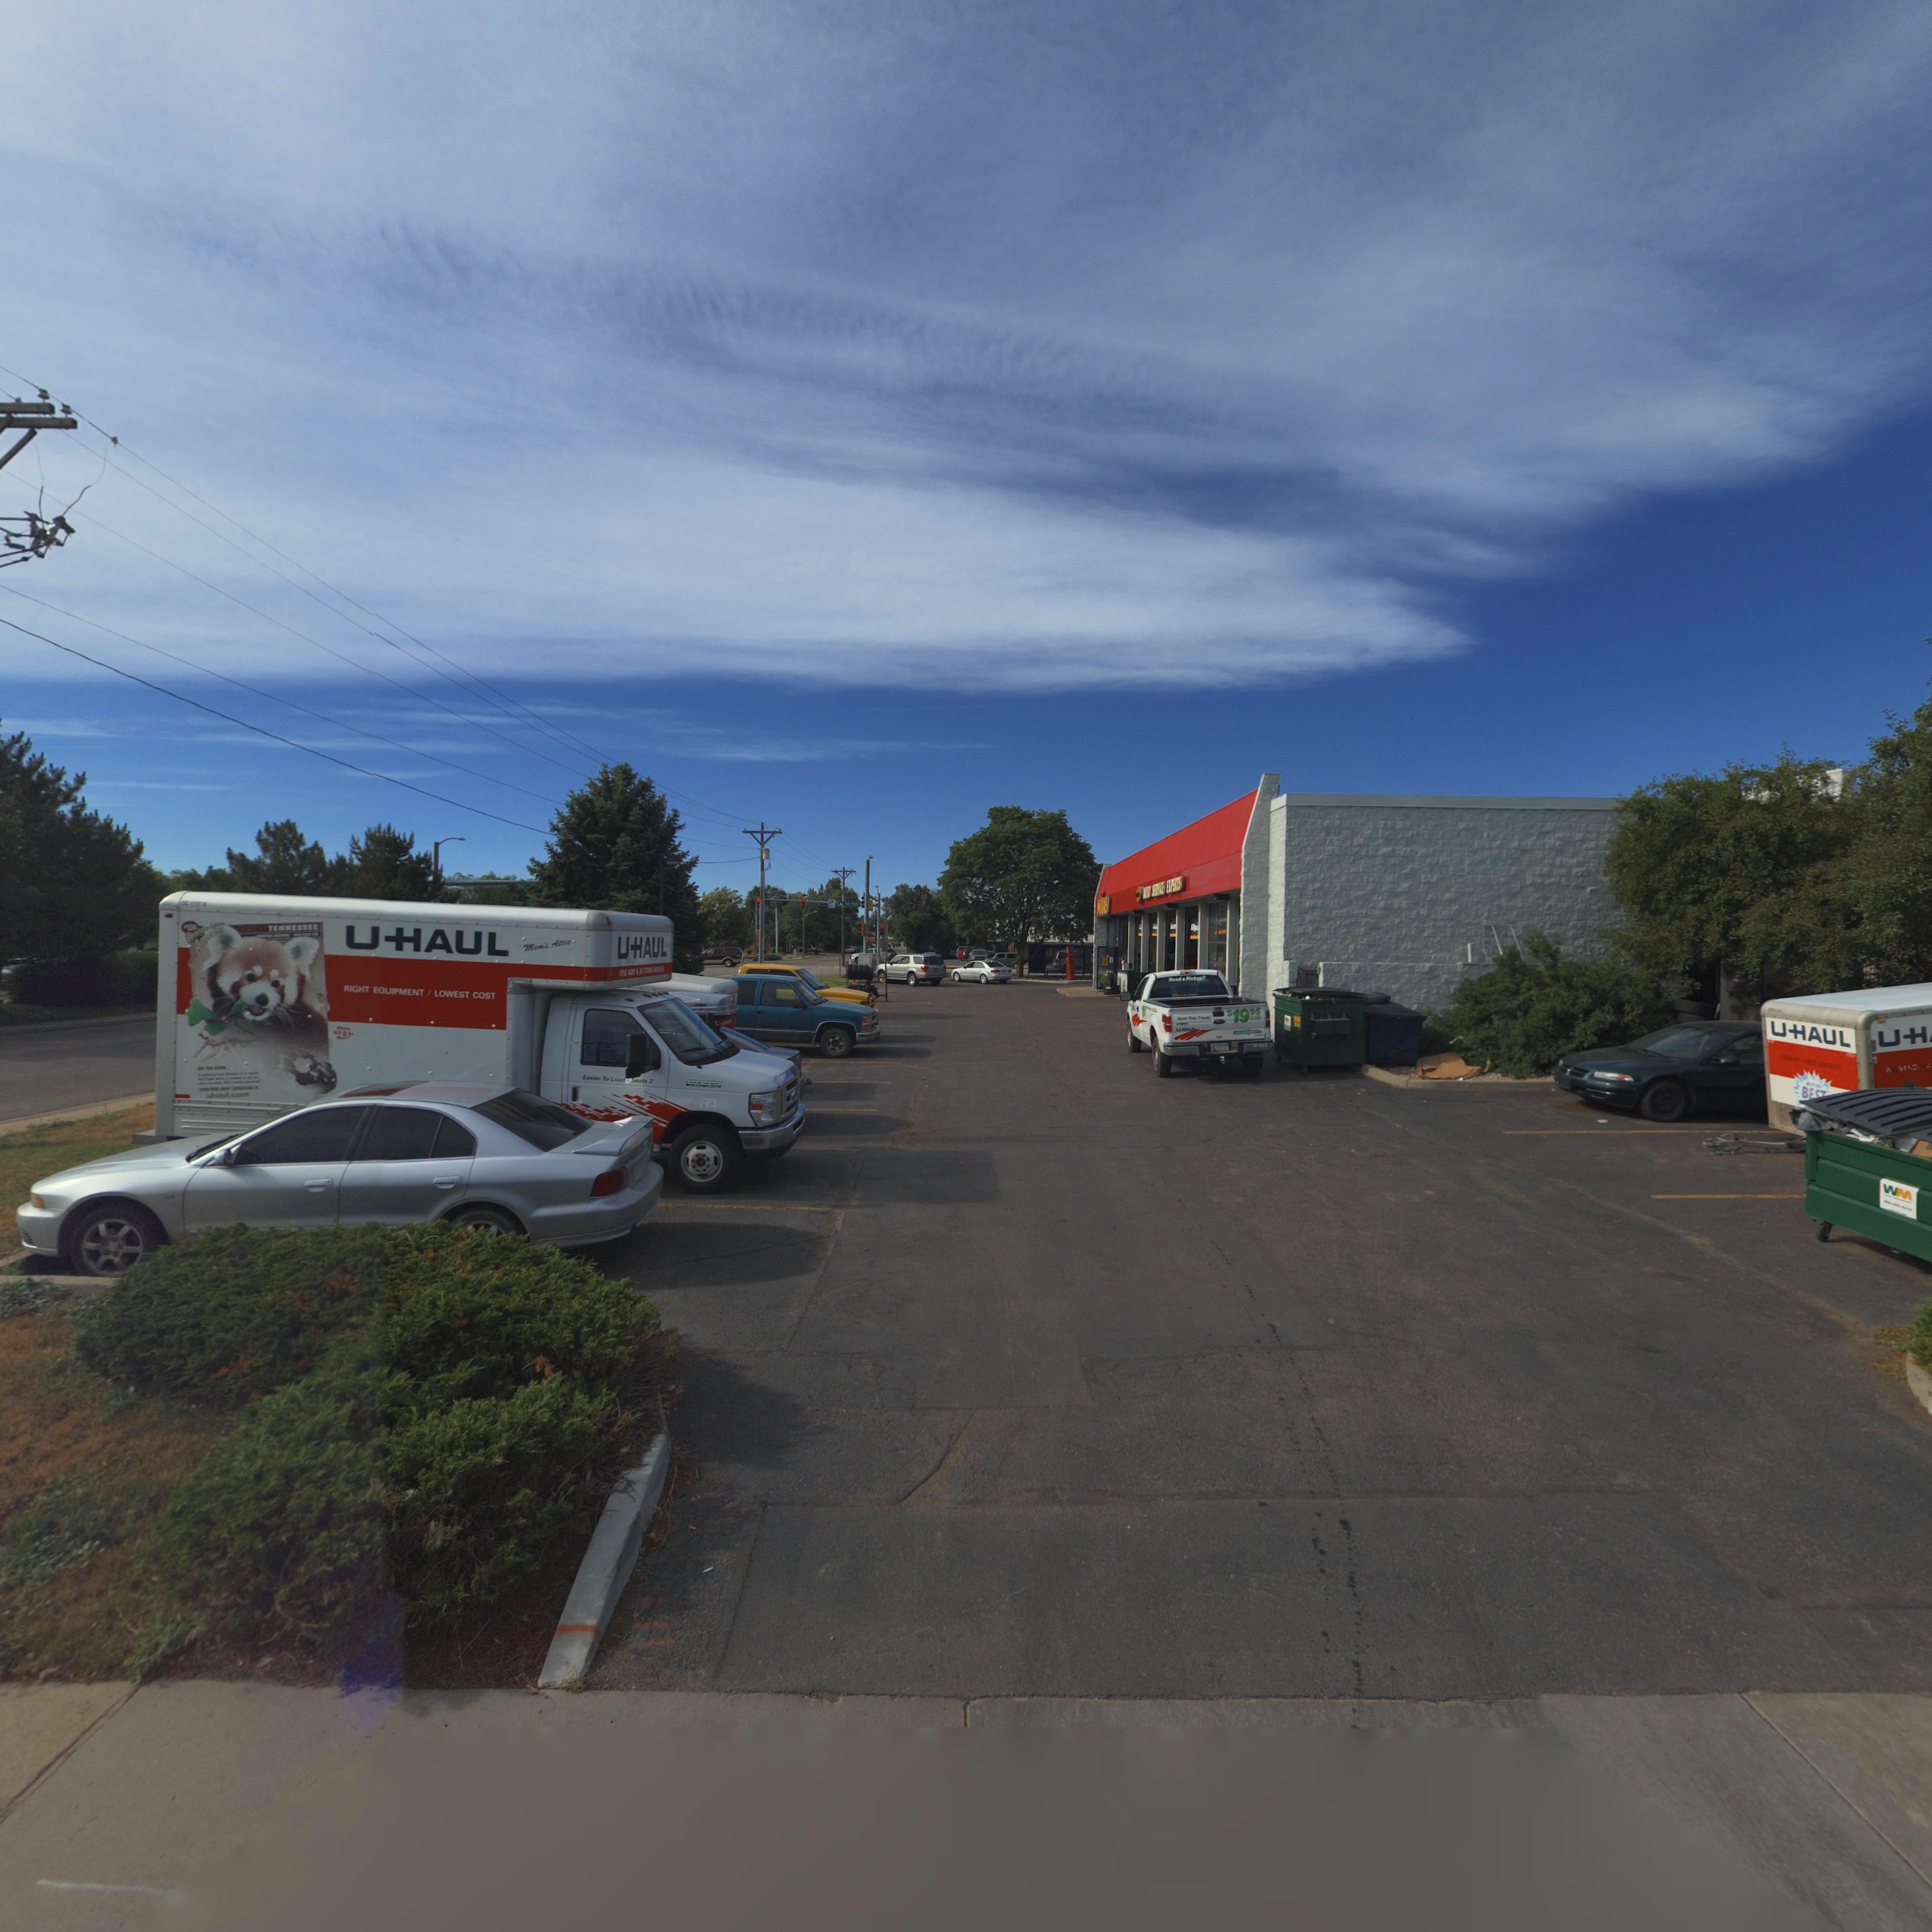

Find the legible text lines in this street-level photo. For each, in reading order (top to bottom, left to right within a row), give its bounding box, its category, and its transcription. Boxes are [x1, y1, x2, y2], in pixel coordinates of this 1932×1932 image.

[1142, 877, 1181, 899] BusinessName: **** S****CE E*PE**S
[1097, 896, 1108, 916] BusinessName: ****S